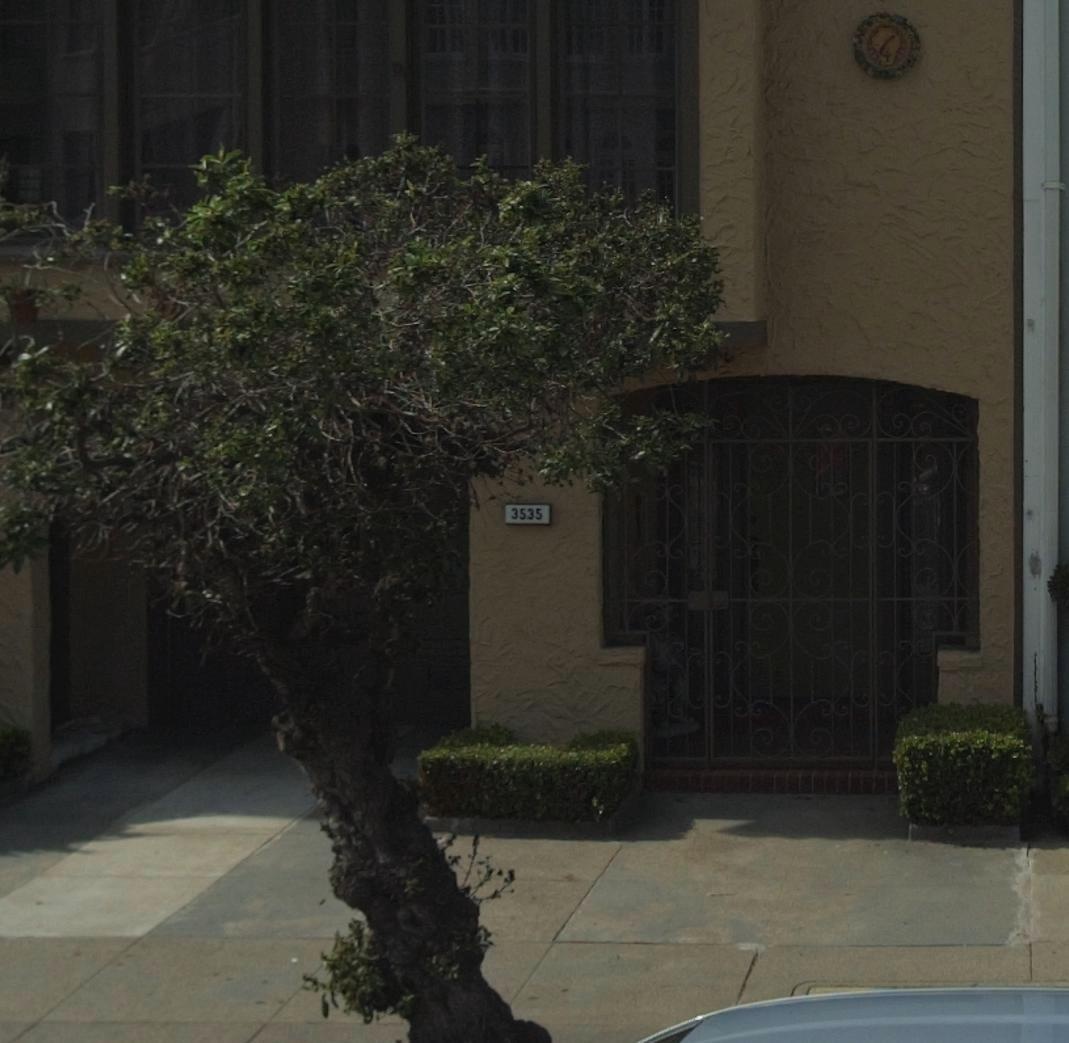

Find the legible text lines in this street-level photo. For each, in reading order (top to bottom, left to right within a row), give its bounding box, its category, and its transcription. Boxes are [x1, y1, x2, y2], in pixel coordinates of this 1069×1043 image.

[509, 505, 544, 523] StreetNumber: 3535